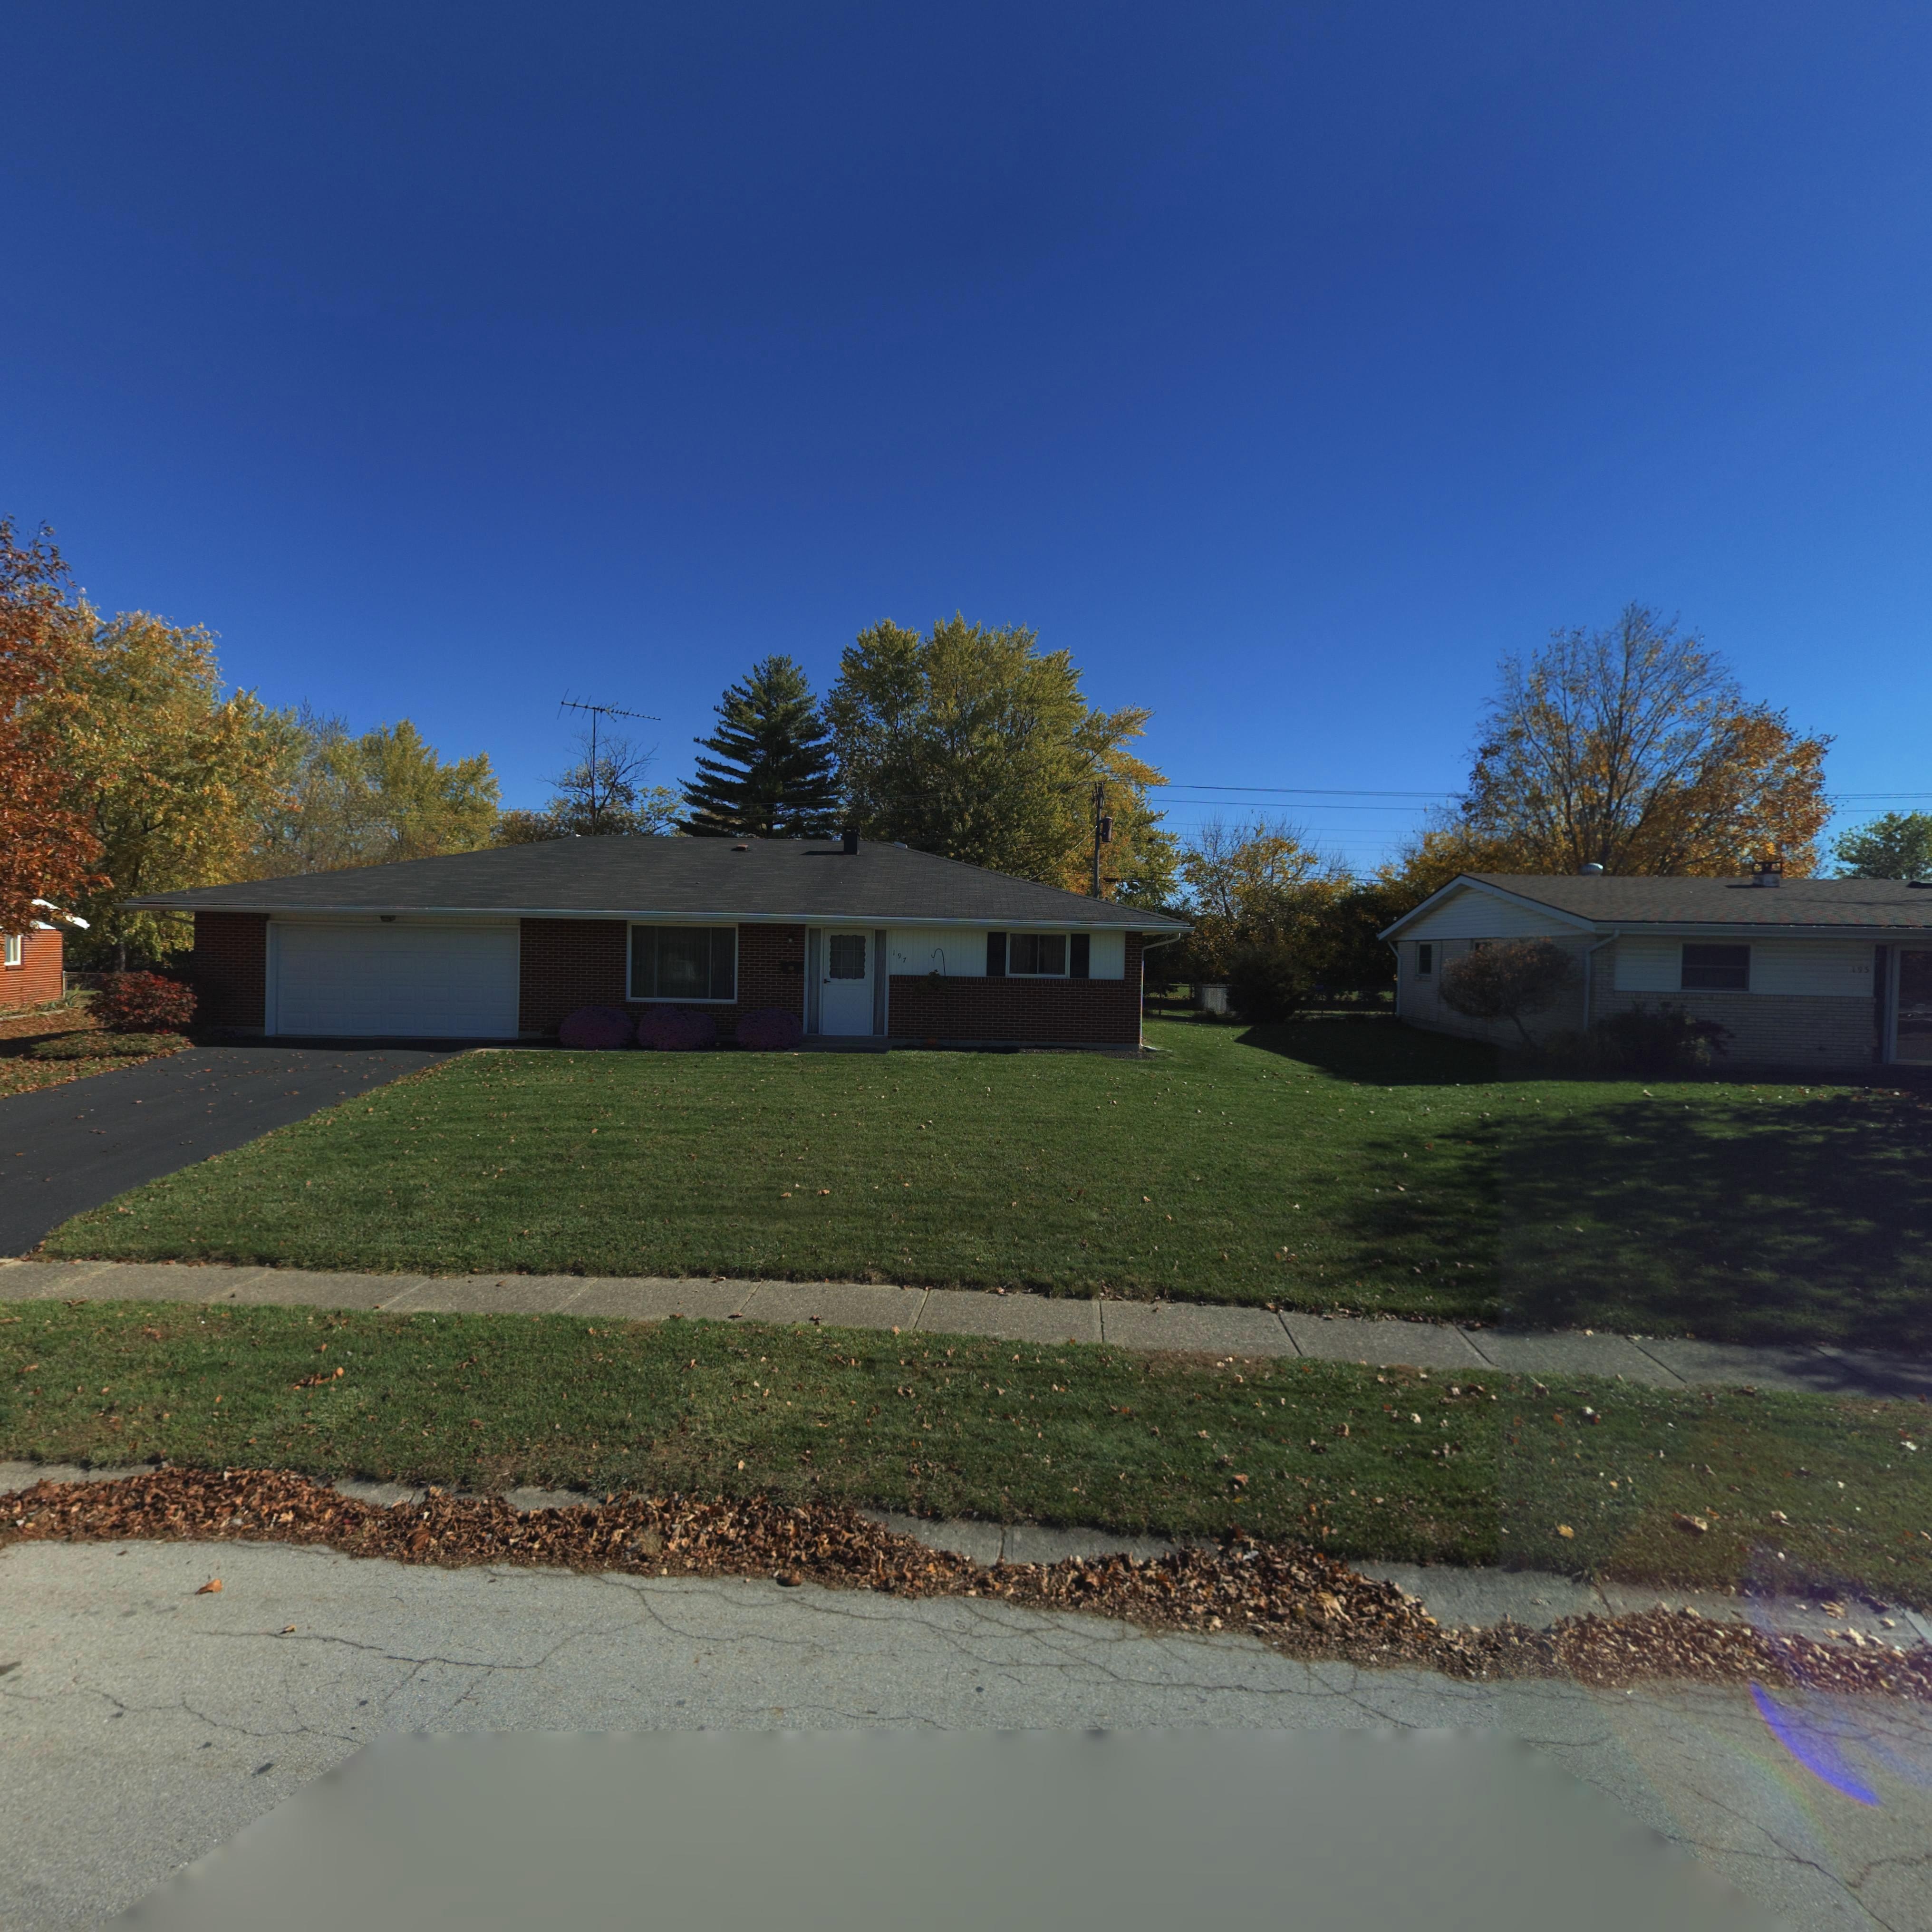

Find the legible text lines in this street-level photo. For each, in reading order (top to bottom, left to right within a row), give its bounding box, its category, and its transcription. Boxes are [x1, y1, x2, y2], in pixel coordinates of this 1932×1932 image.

[892, 949, 908, 964] StreetNumber: 197
[1851, 965, 1871, 974] StreetNumber: 195